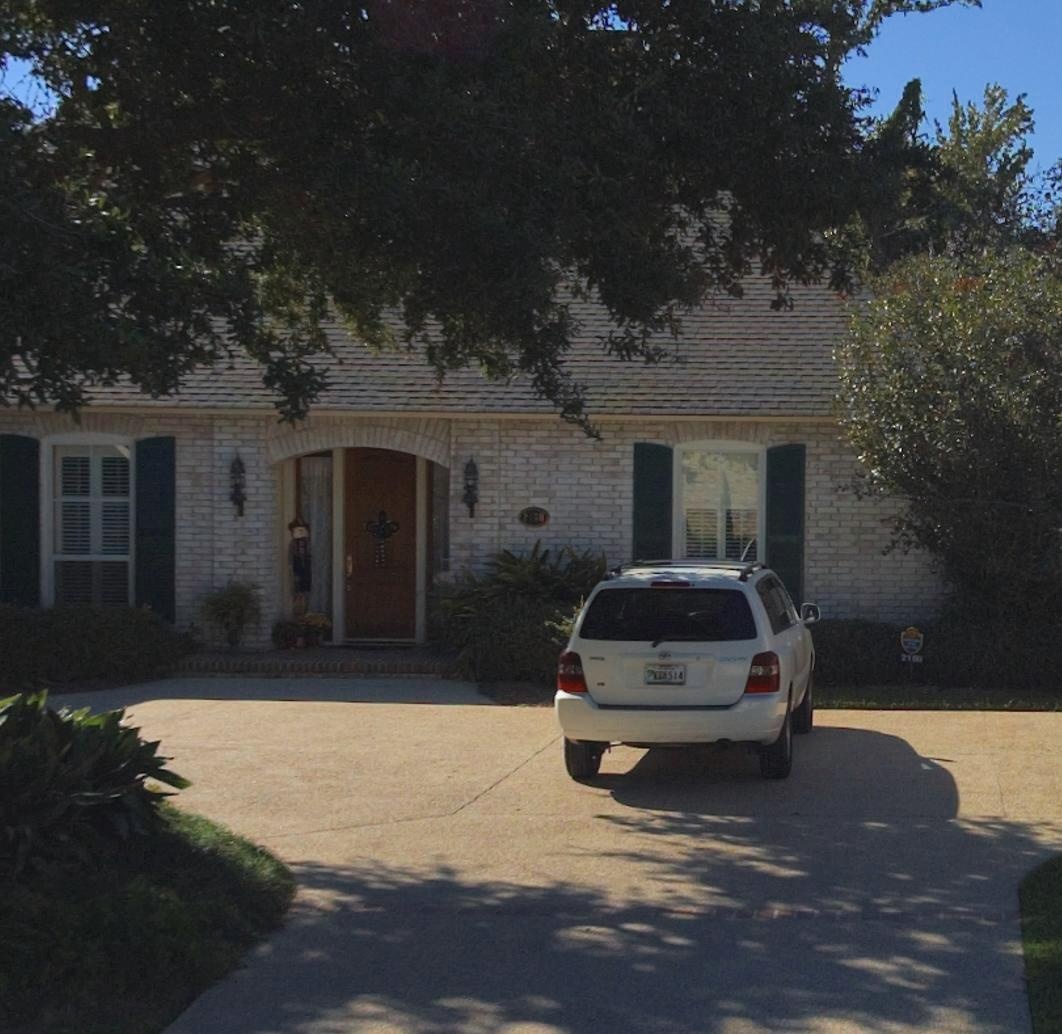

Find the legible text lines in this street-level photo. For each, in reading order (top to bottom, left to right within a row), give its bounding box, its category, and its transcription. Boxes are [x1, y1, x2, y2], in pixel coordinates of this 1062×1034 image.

[522, 511, 546, 524] StreetNumber: 2**0
[899, 652, 924, 665] StreetNumber: 2180
[645, 668, 685, 681] None: ****514